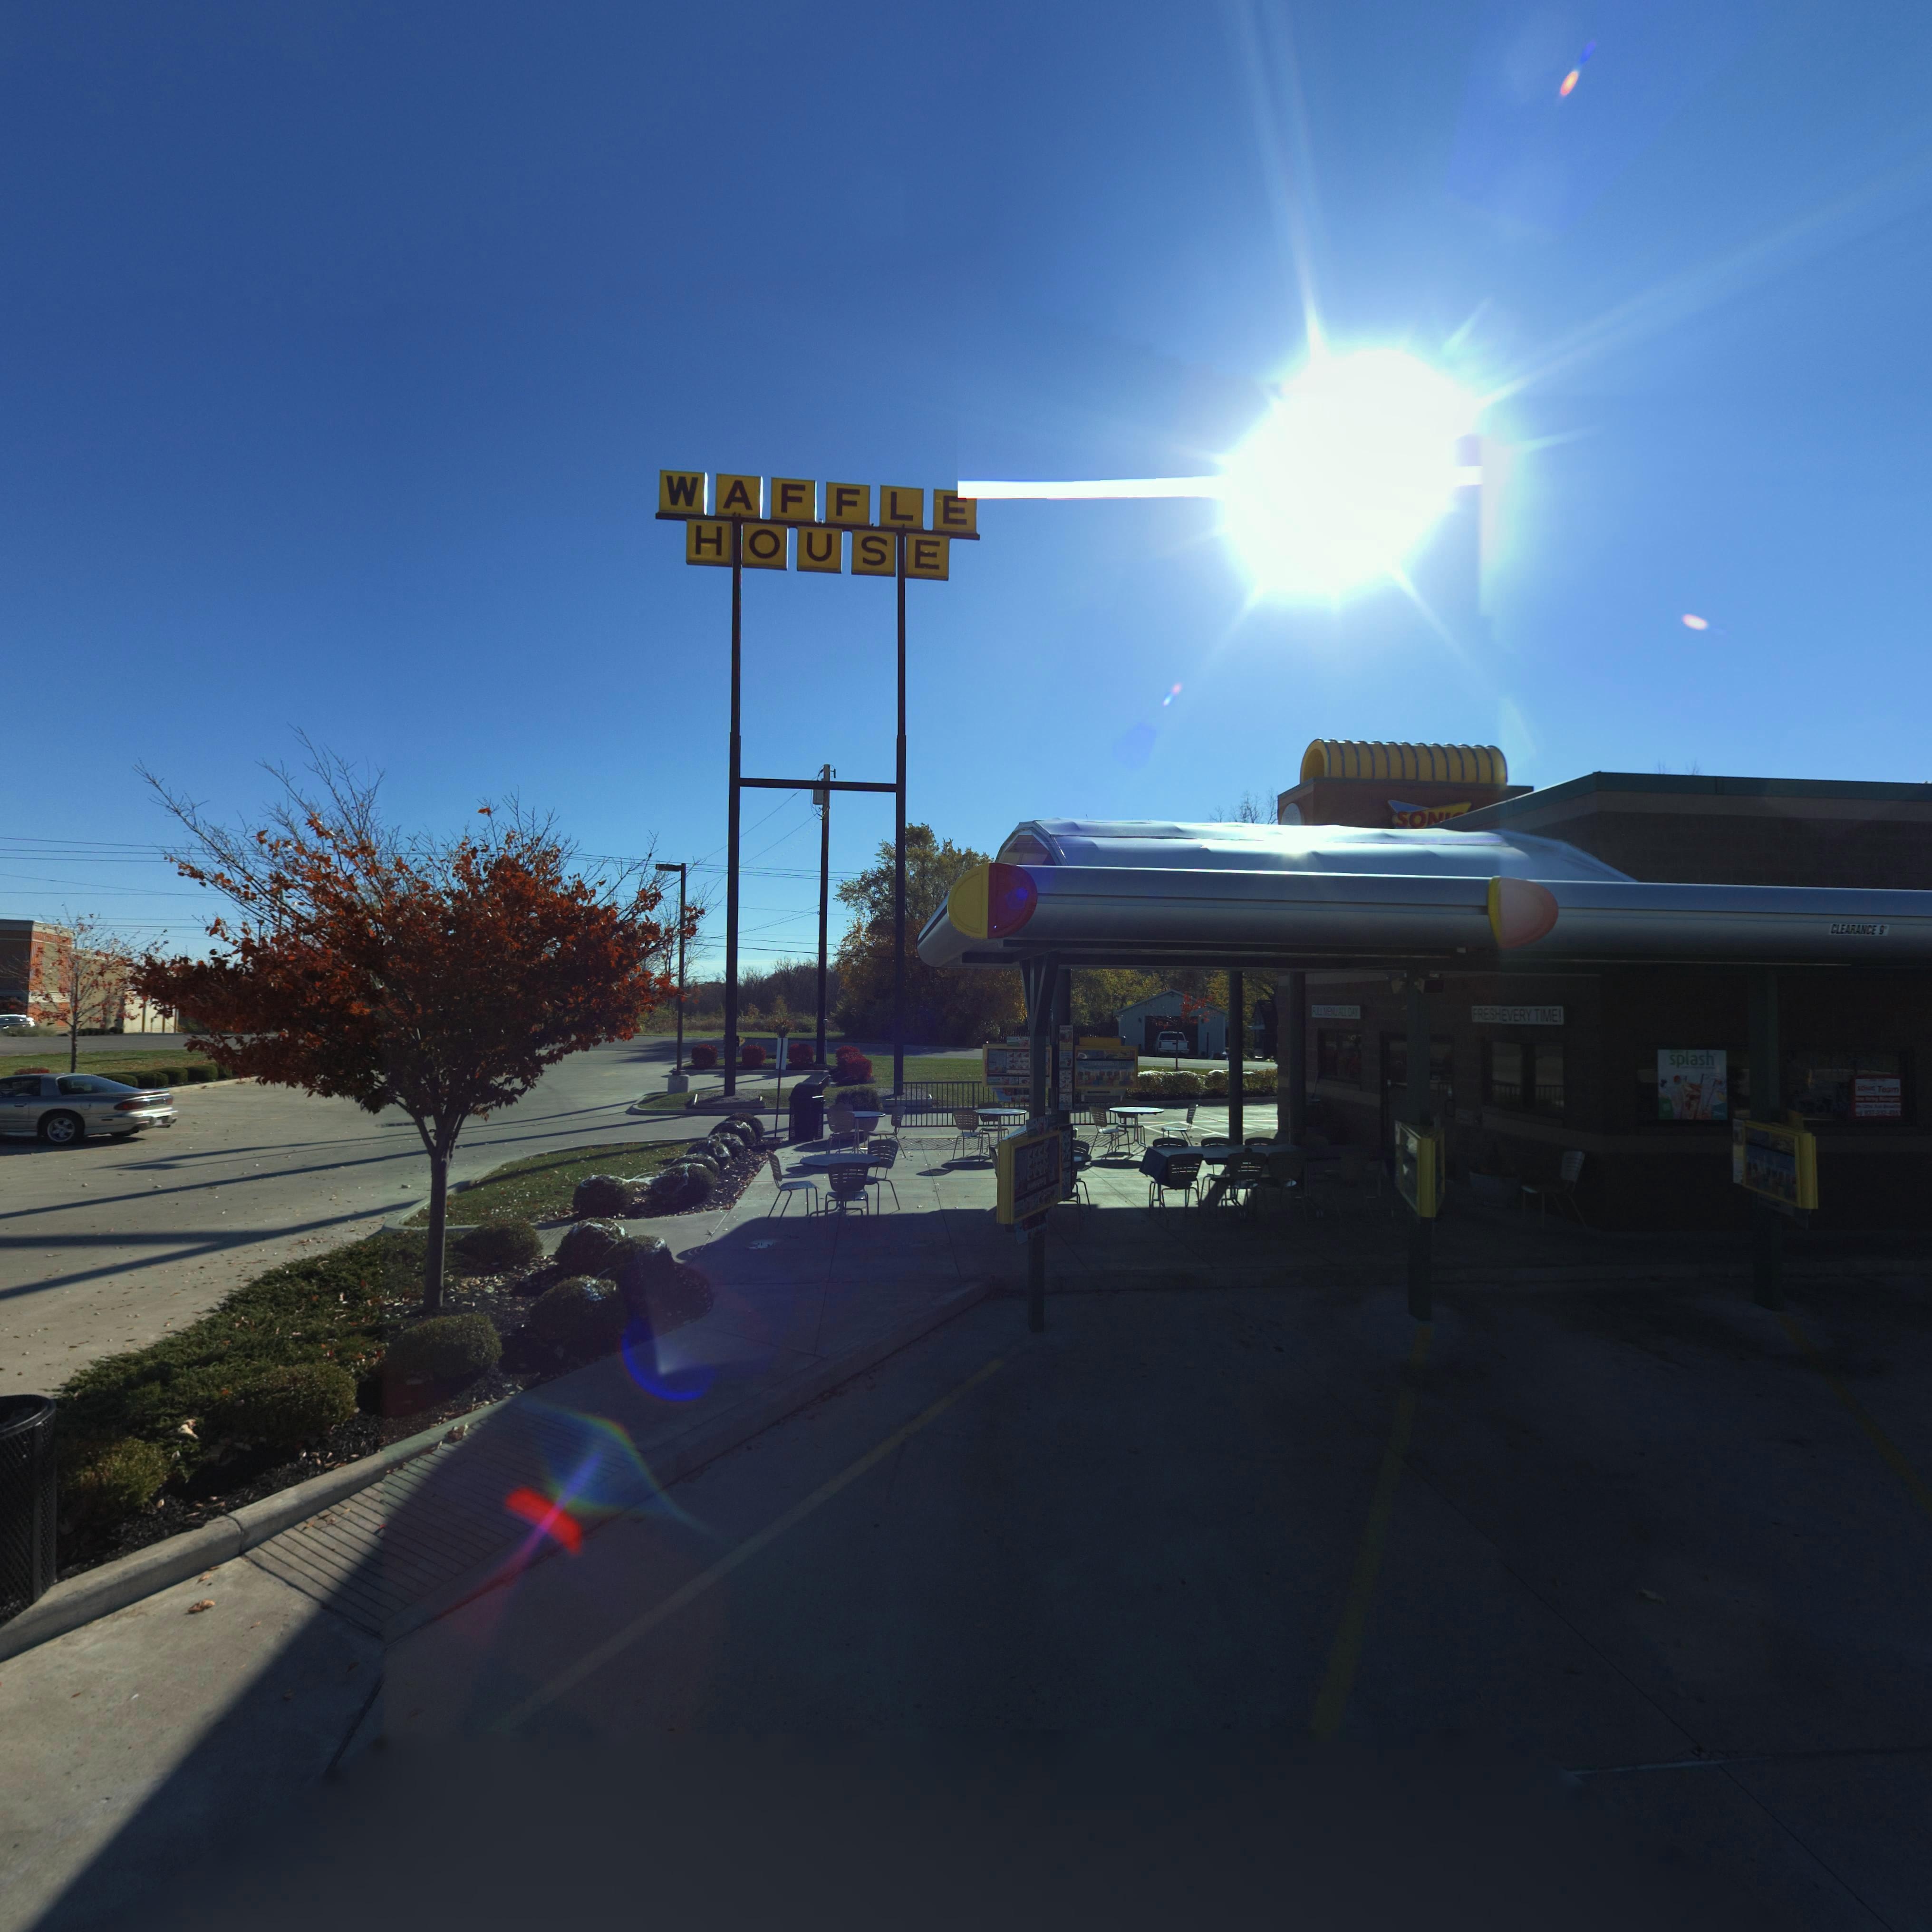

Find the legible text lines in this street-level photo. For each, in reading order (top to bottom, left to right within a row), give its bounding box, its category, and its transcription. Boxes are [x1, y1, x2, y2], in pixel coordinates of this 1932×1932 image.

[1458, 1111, 1469, 1121] StreetNumber: 7***